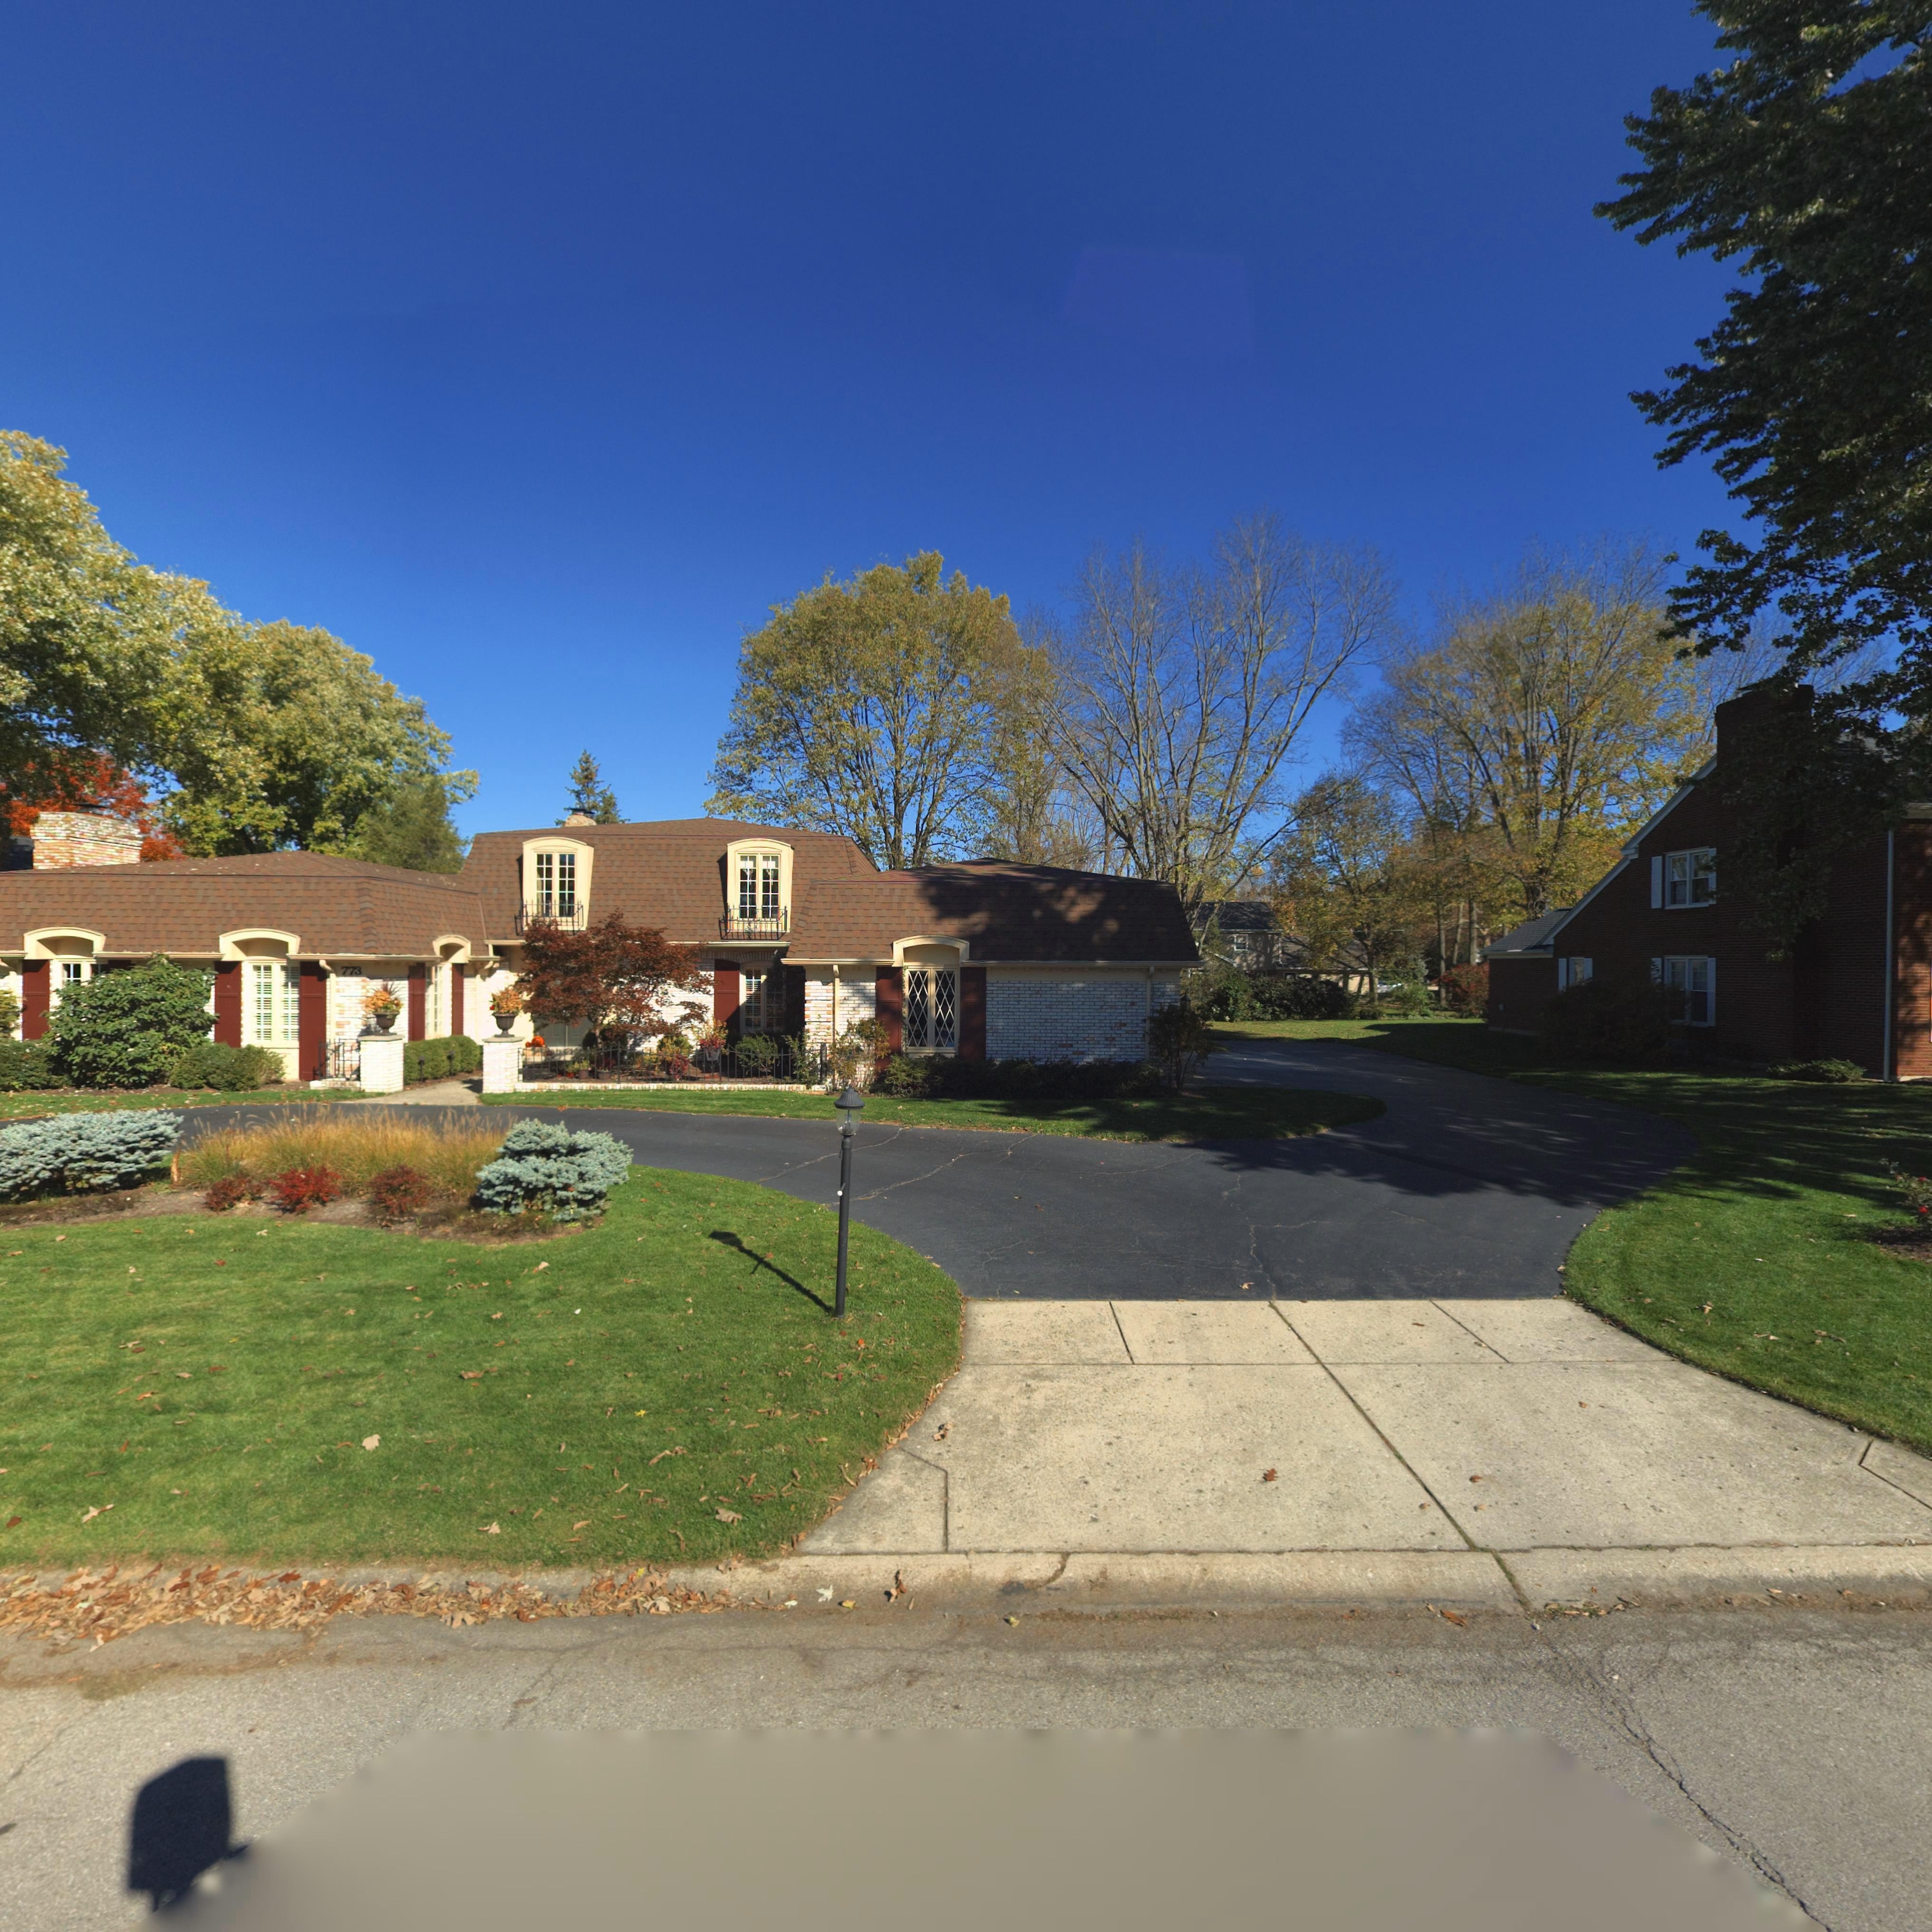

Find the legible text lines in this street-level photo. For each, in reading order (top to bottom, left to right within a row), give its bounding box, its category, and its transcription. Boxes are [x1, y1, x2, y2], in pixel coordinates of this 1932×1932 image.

[340, 965, 362, 976] StreetNumber: 773